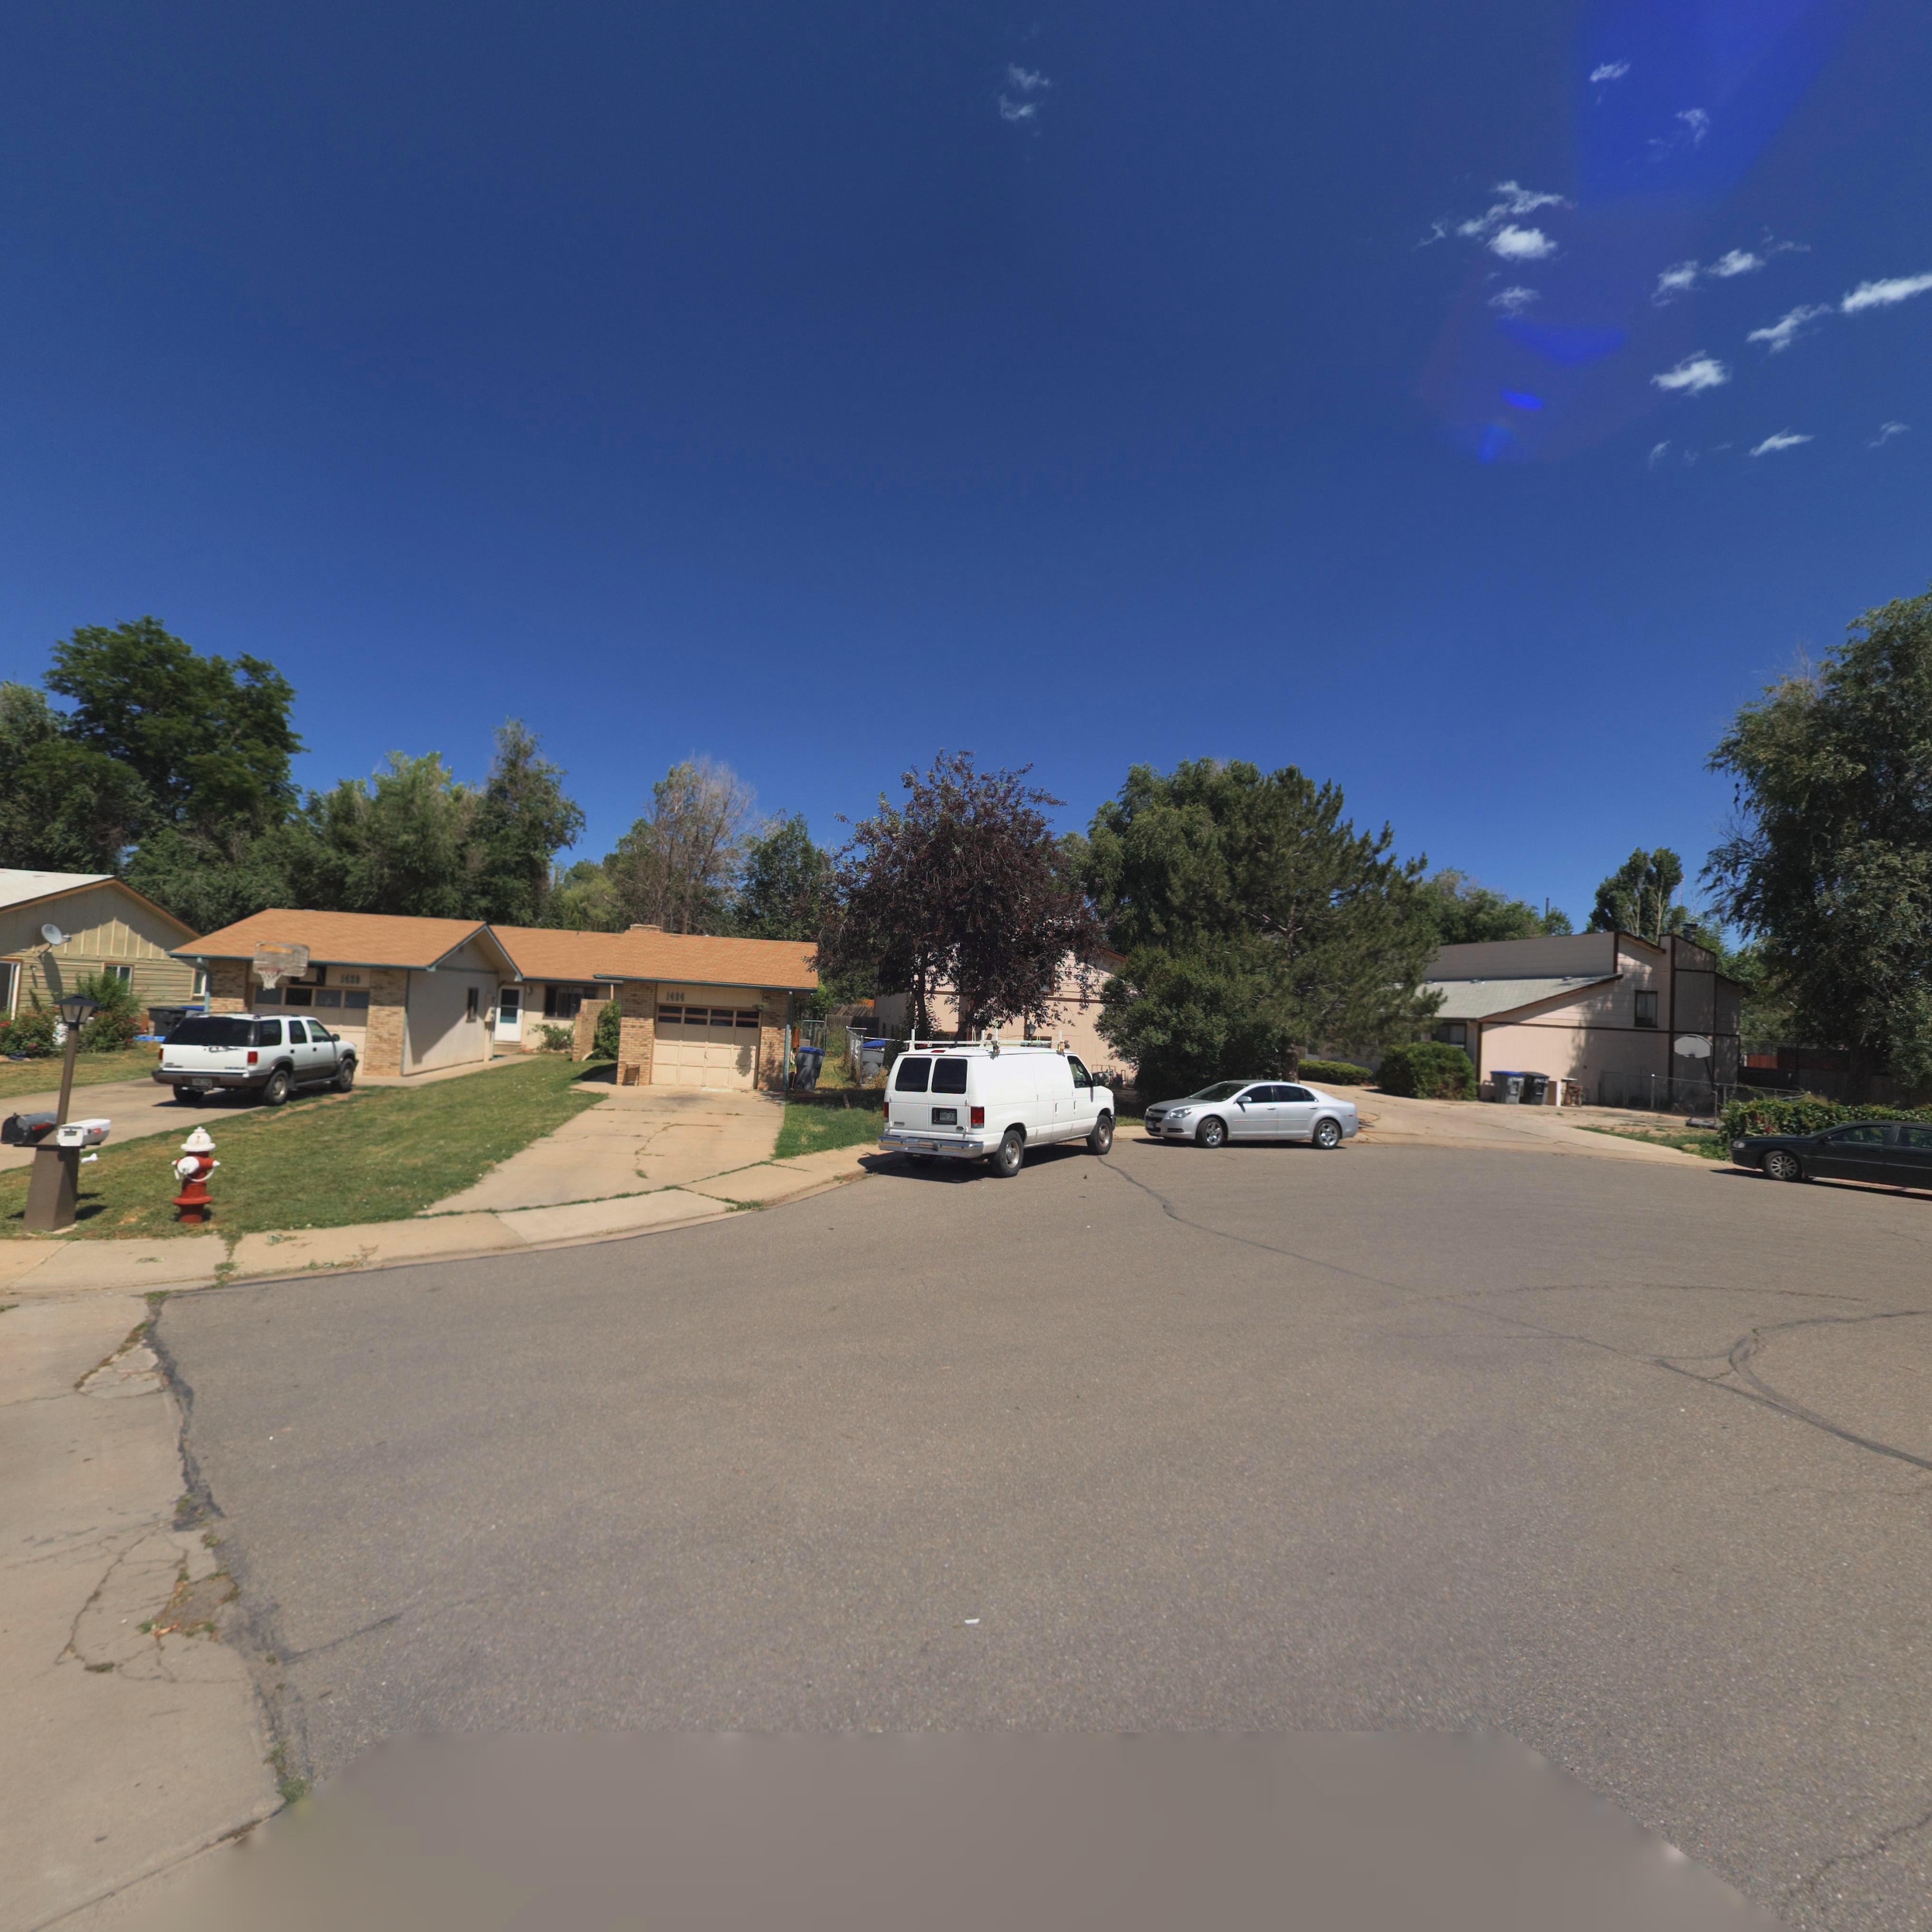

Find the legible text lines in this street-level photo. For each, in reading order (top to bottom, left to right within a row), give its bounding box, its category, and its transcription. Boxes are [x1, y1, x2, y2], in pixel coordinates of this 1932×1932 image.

[340, 974, 360, 985] StreetNumber: 14**
[666, 992, 684, 1002] StreetNumber: 1424